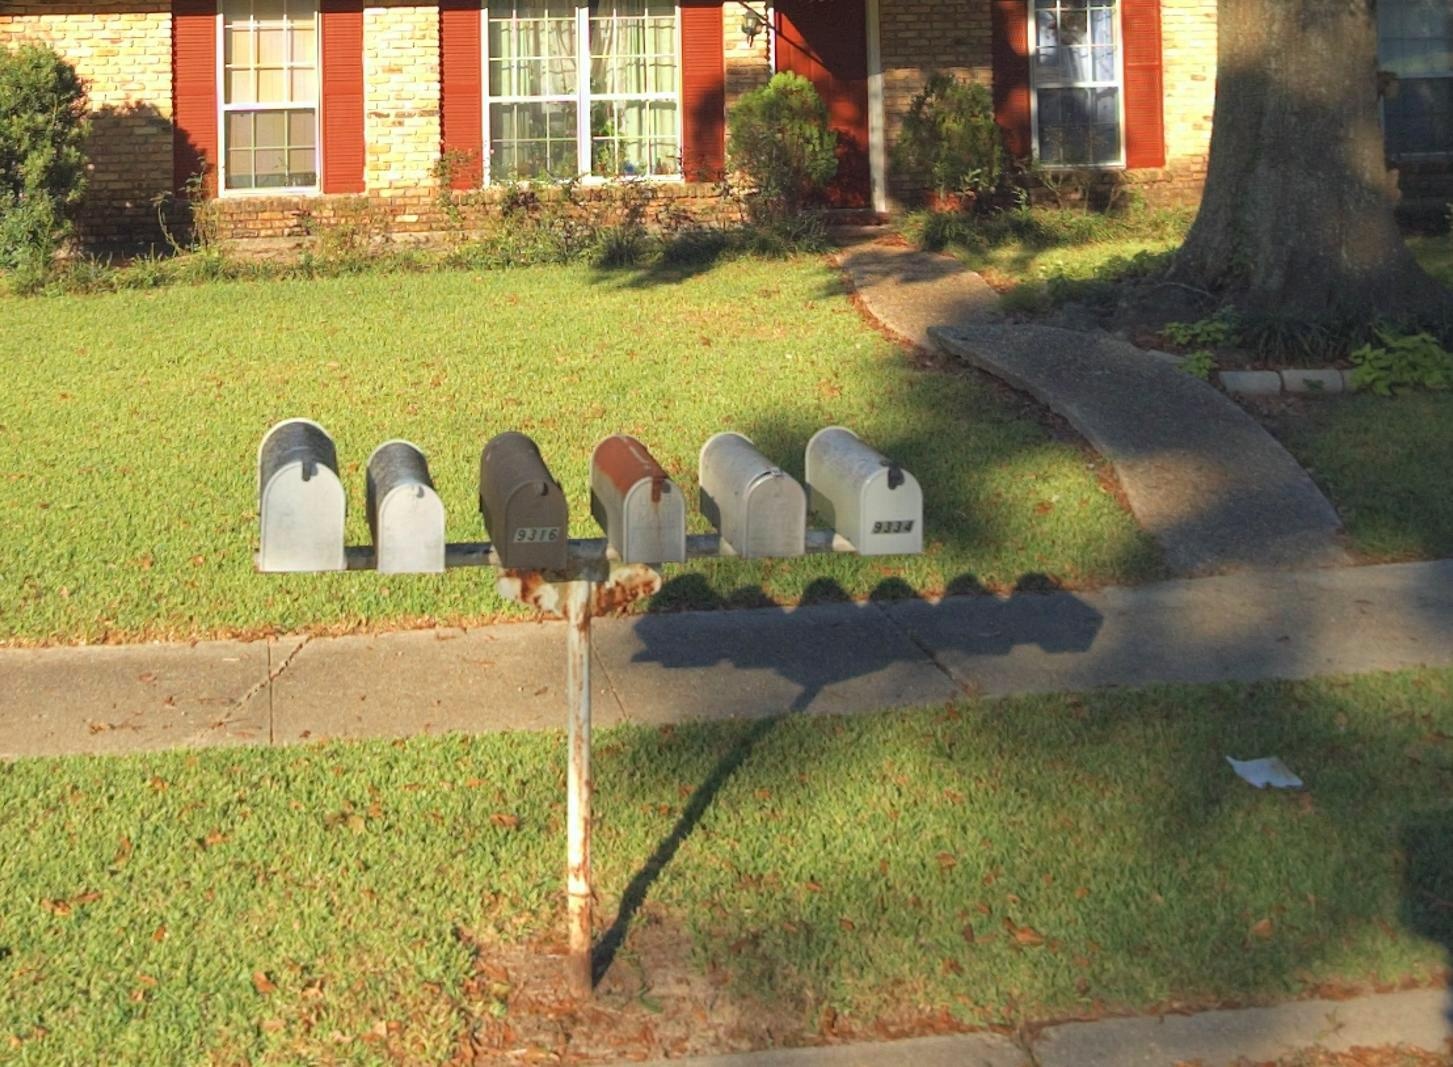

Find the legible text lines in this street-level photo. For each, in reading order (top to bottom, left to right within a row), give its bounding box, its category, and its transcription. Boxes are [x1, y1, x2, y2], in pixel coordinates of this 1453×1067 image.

[873, 521, 914, 533] StreetNumber: 9334
[514, 528, 558, 542] StreetNumber: 9316